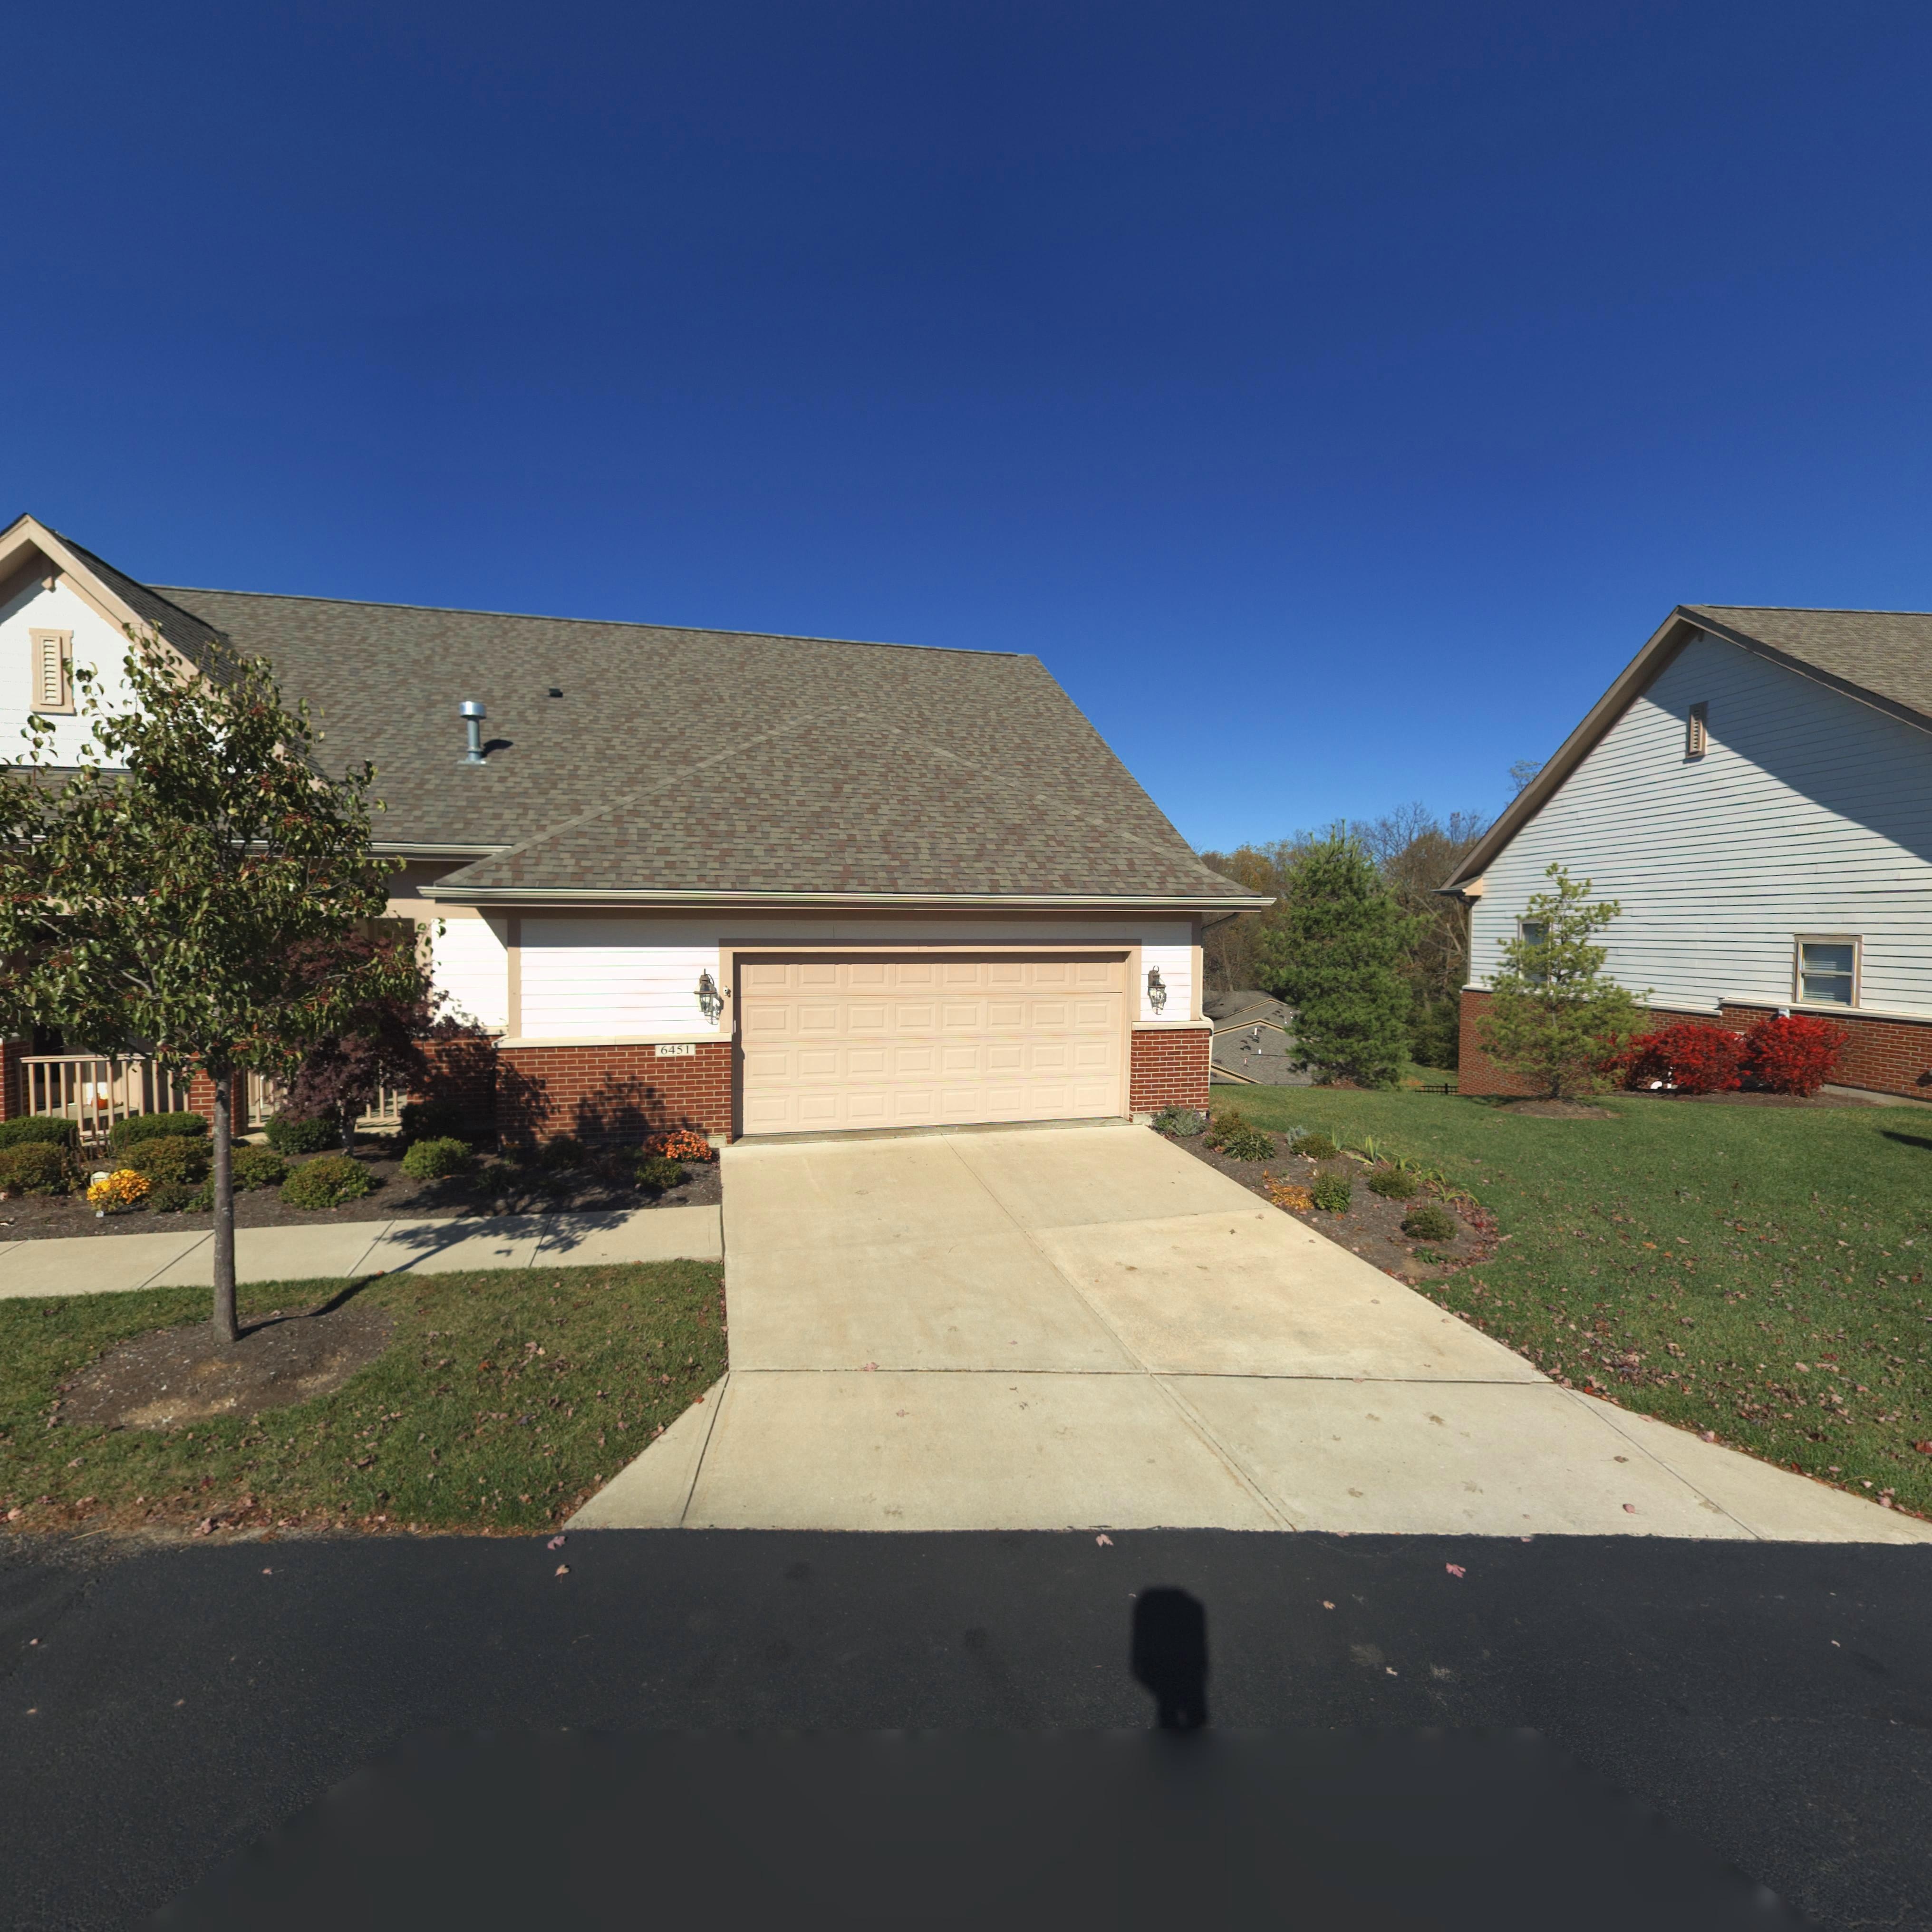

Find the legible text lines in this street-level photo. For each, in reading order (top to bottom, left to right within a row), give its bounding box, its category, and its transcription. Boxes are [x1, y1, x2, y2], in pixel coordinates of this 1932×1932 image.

[660, 1044, 690, 1055] StreetNumber: 6451